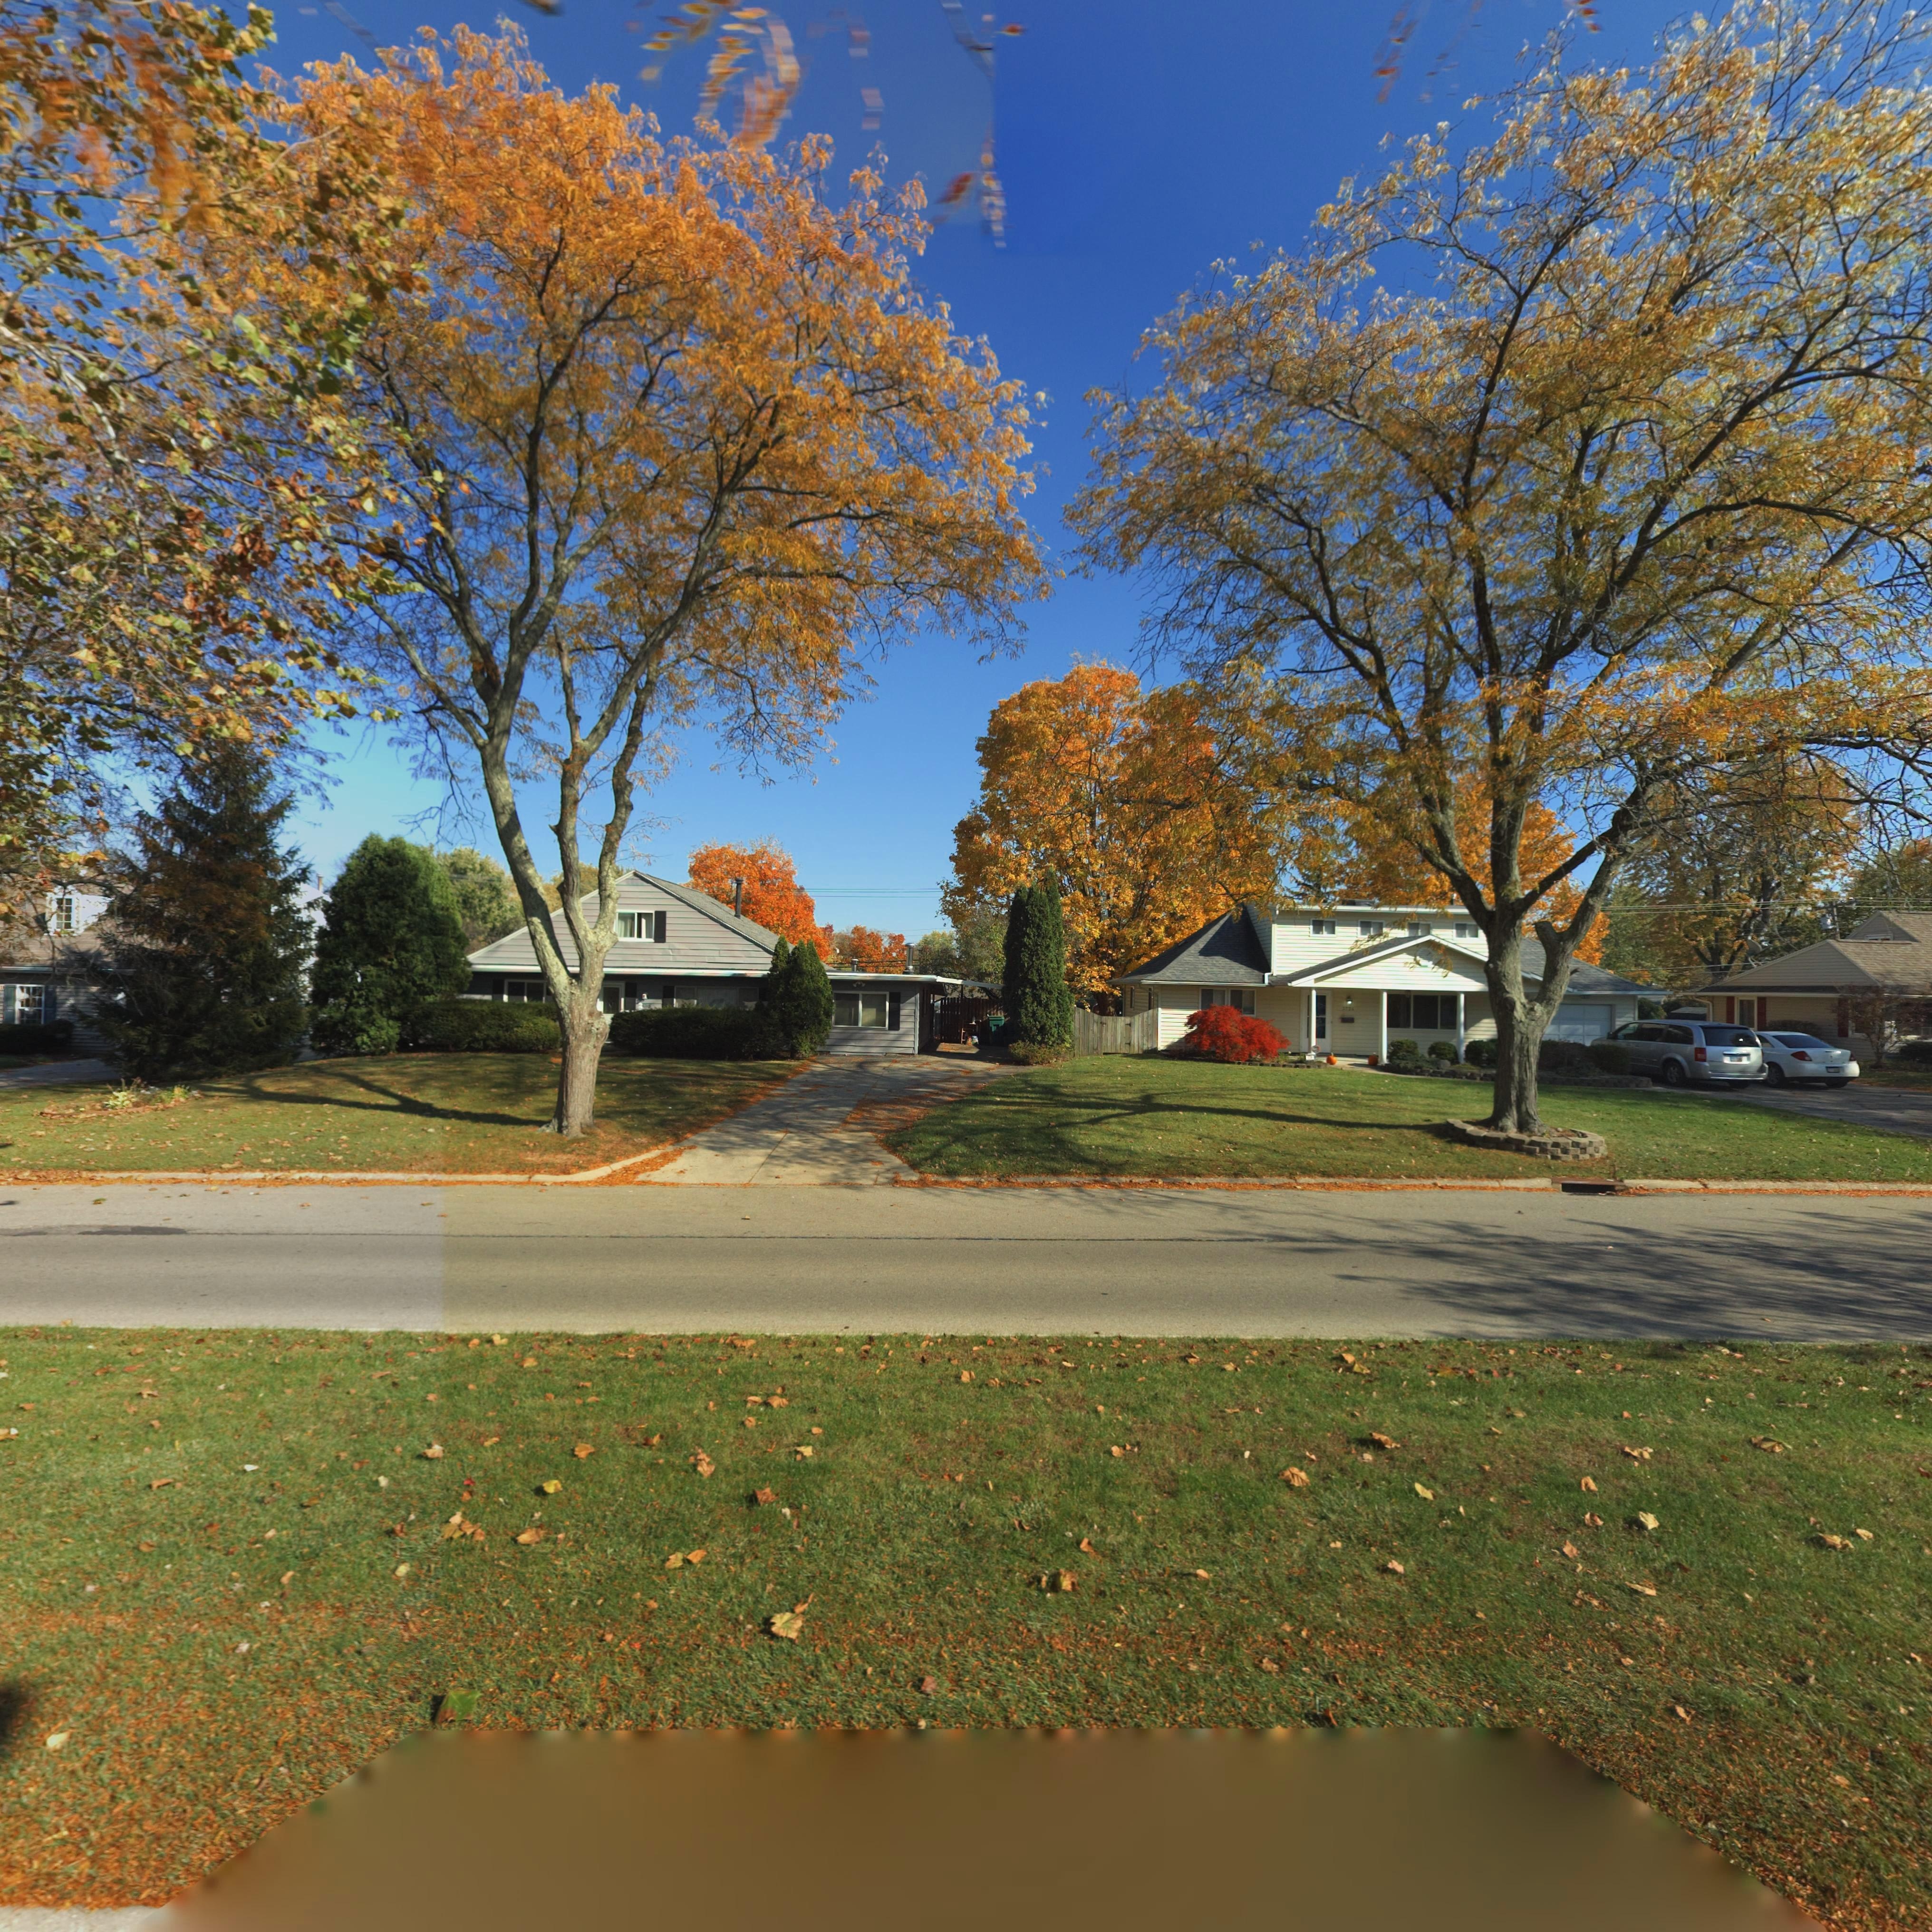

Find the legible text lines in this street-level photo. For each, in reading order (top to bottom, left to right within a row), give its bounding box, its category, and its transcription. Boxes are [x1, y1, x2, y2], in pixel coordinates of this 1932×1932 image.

[1341, 1006, 1355, 1012] StreetNumber: 3724